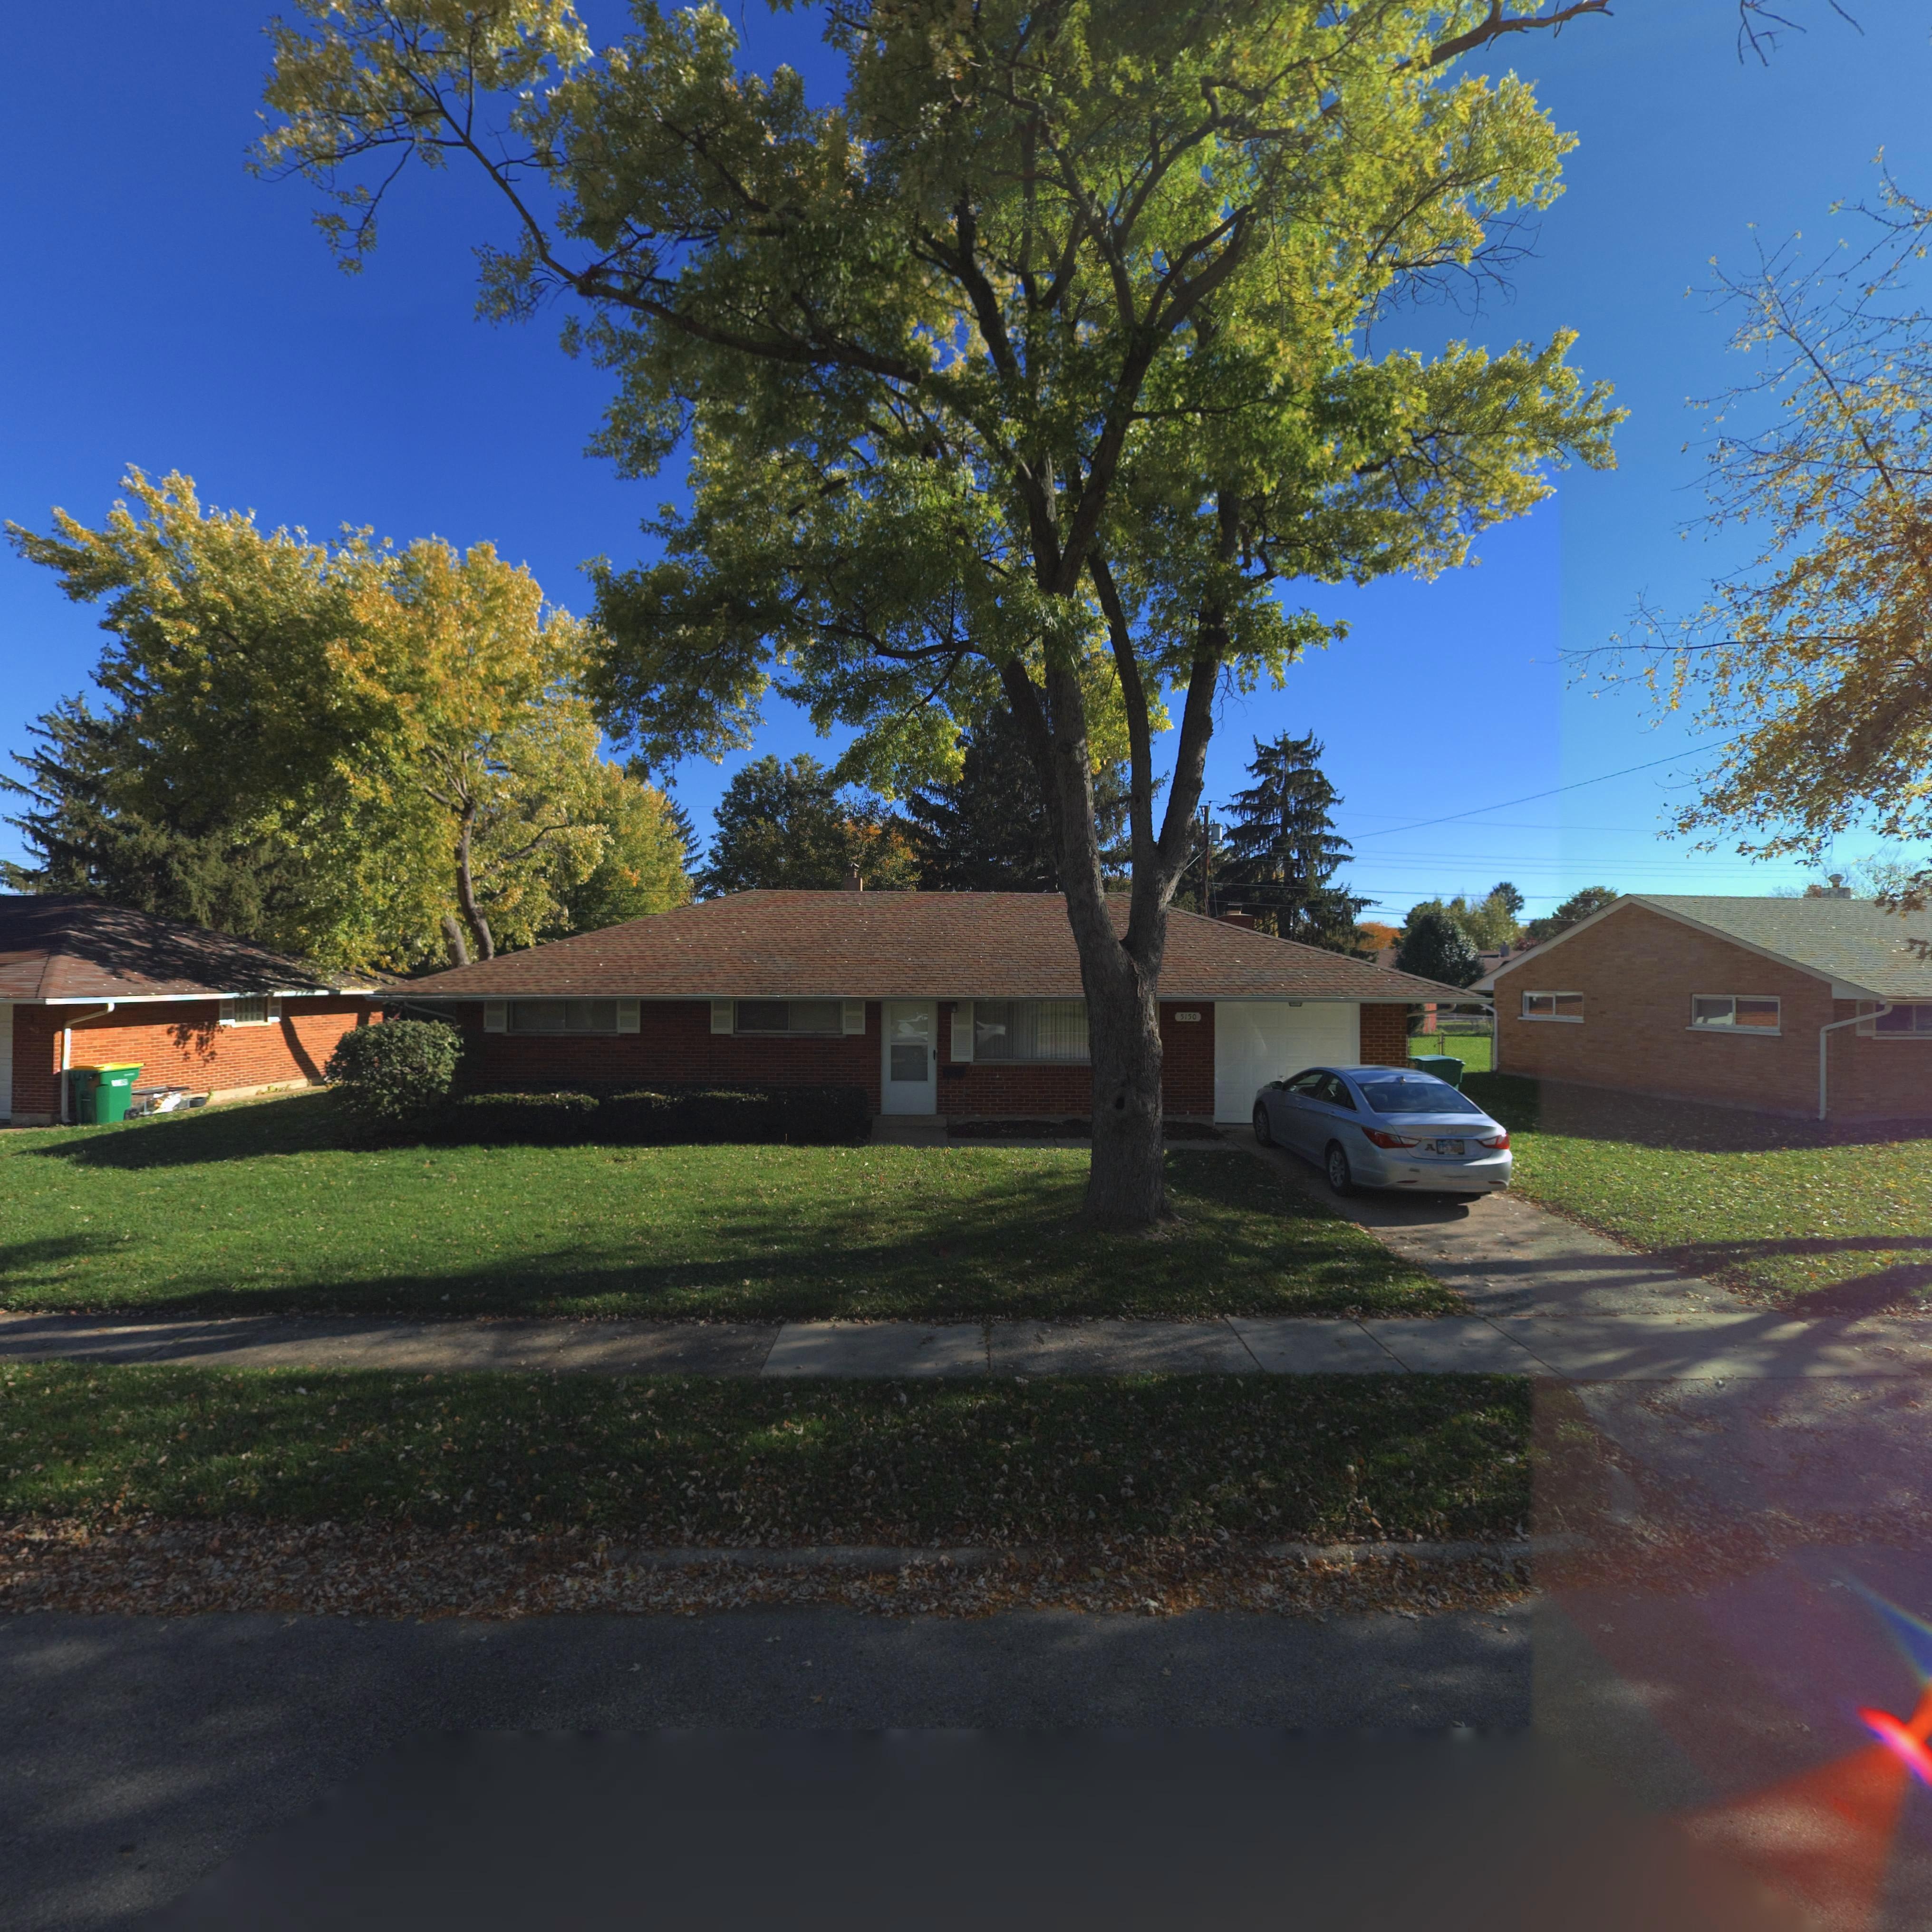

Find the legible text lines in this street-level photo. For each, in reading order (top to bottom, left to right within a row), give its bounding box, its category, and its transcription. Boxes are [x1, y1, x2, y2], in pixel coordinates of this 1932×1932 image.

[1179, 1013, 1197, 1021] StreetNumber: 5150